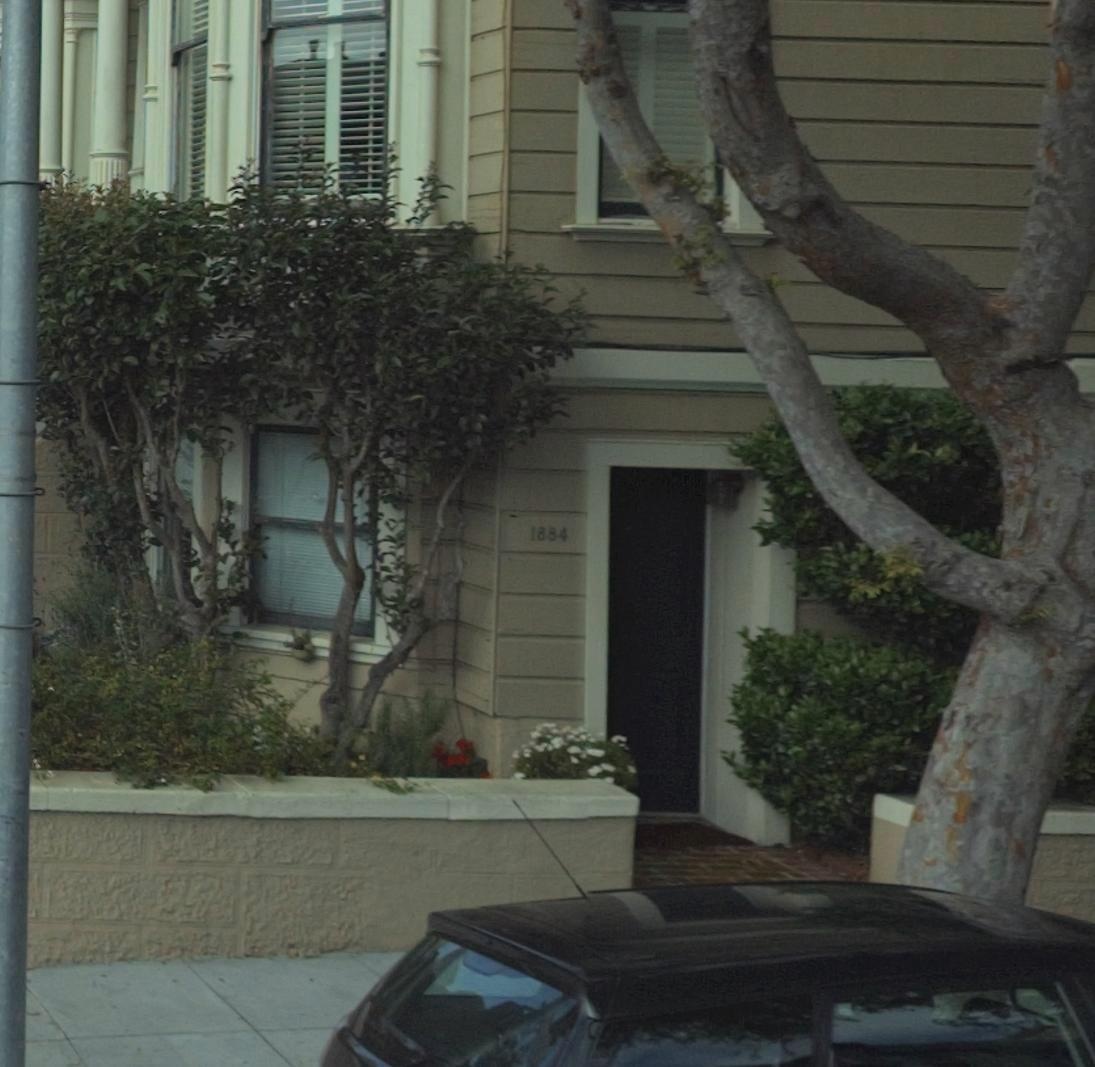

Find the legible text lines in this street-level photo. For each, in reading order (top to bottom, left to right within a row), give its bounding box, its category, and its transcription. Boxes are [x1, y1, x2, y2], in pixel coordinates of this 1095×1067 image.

[528, 523, 571, 544] StreetNumber: 1884